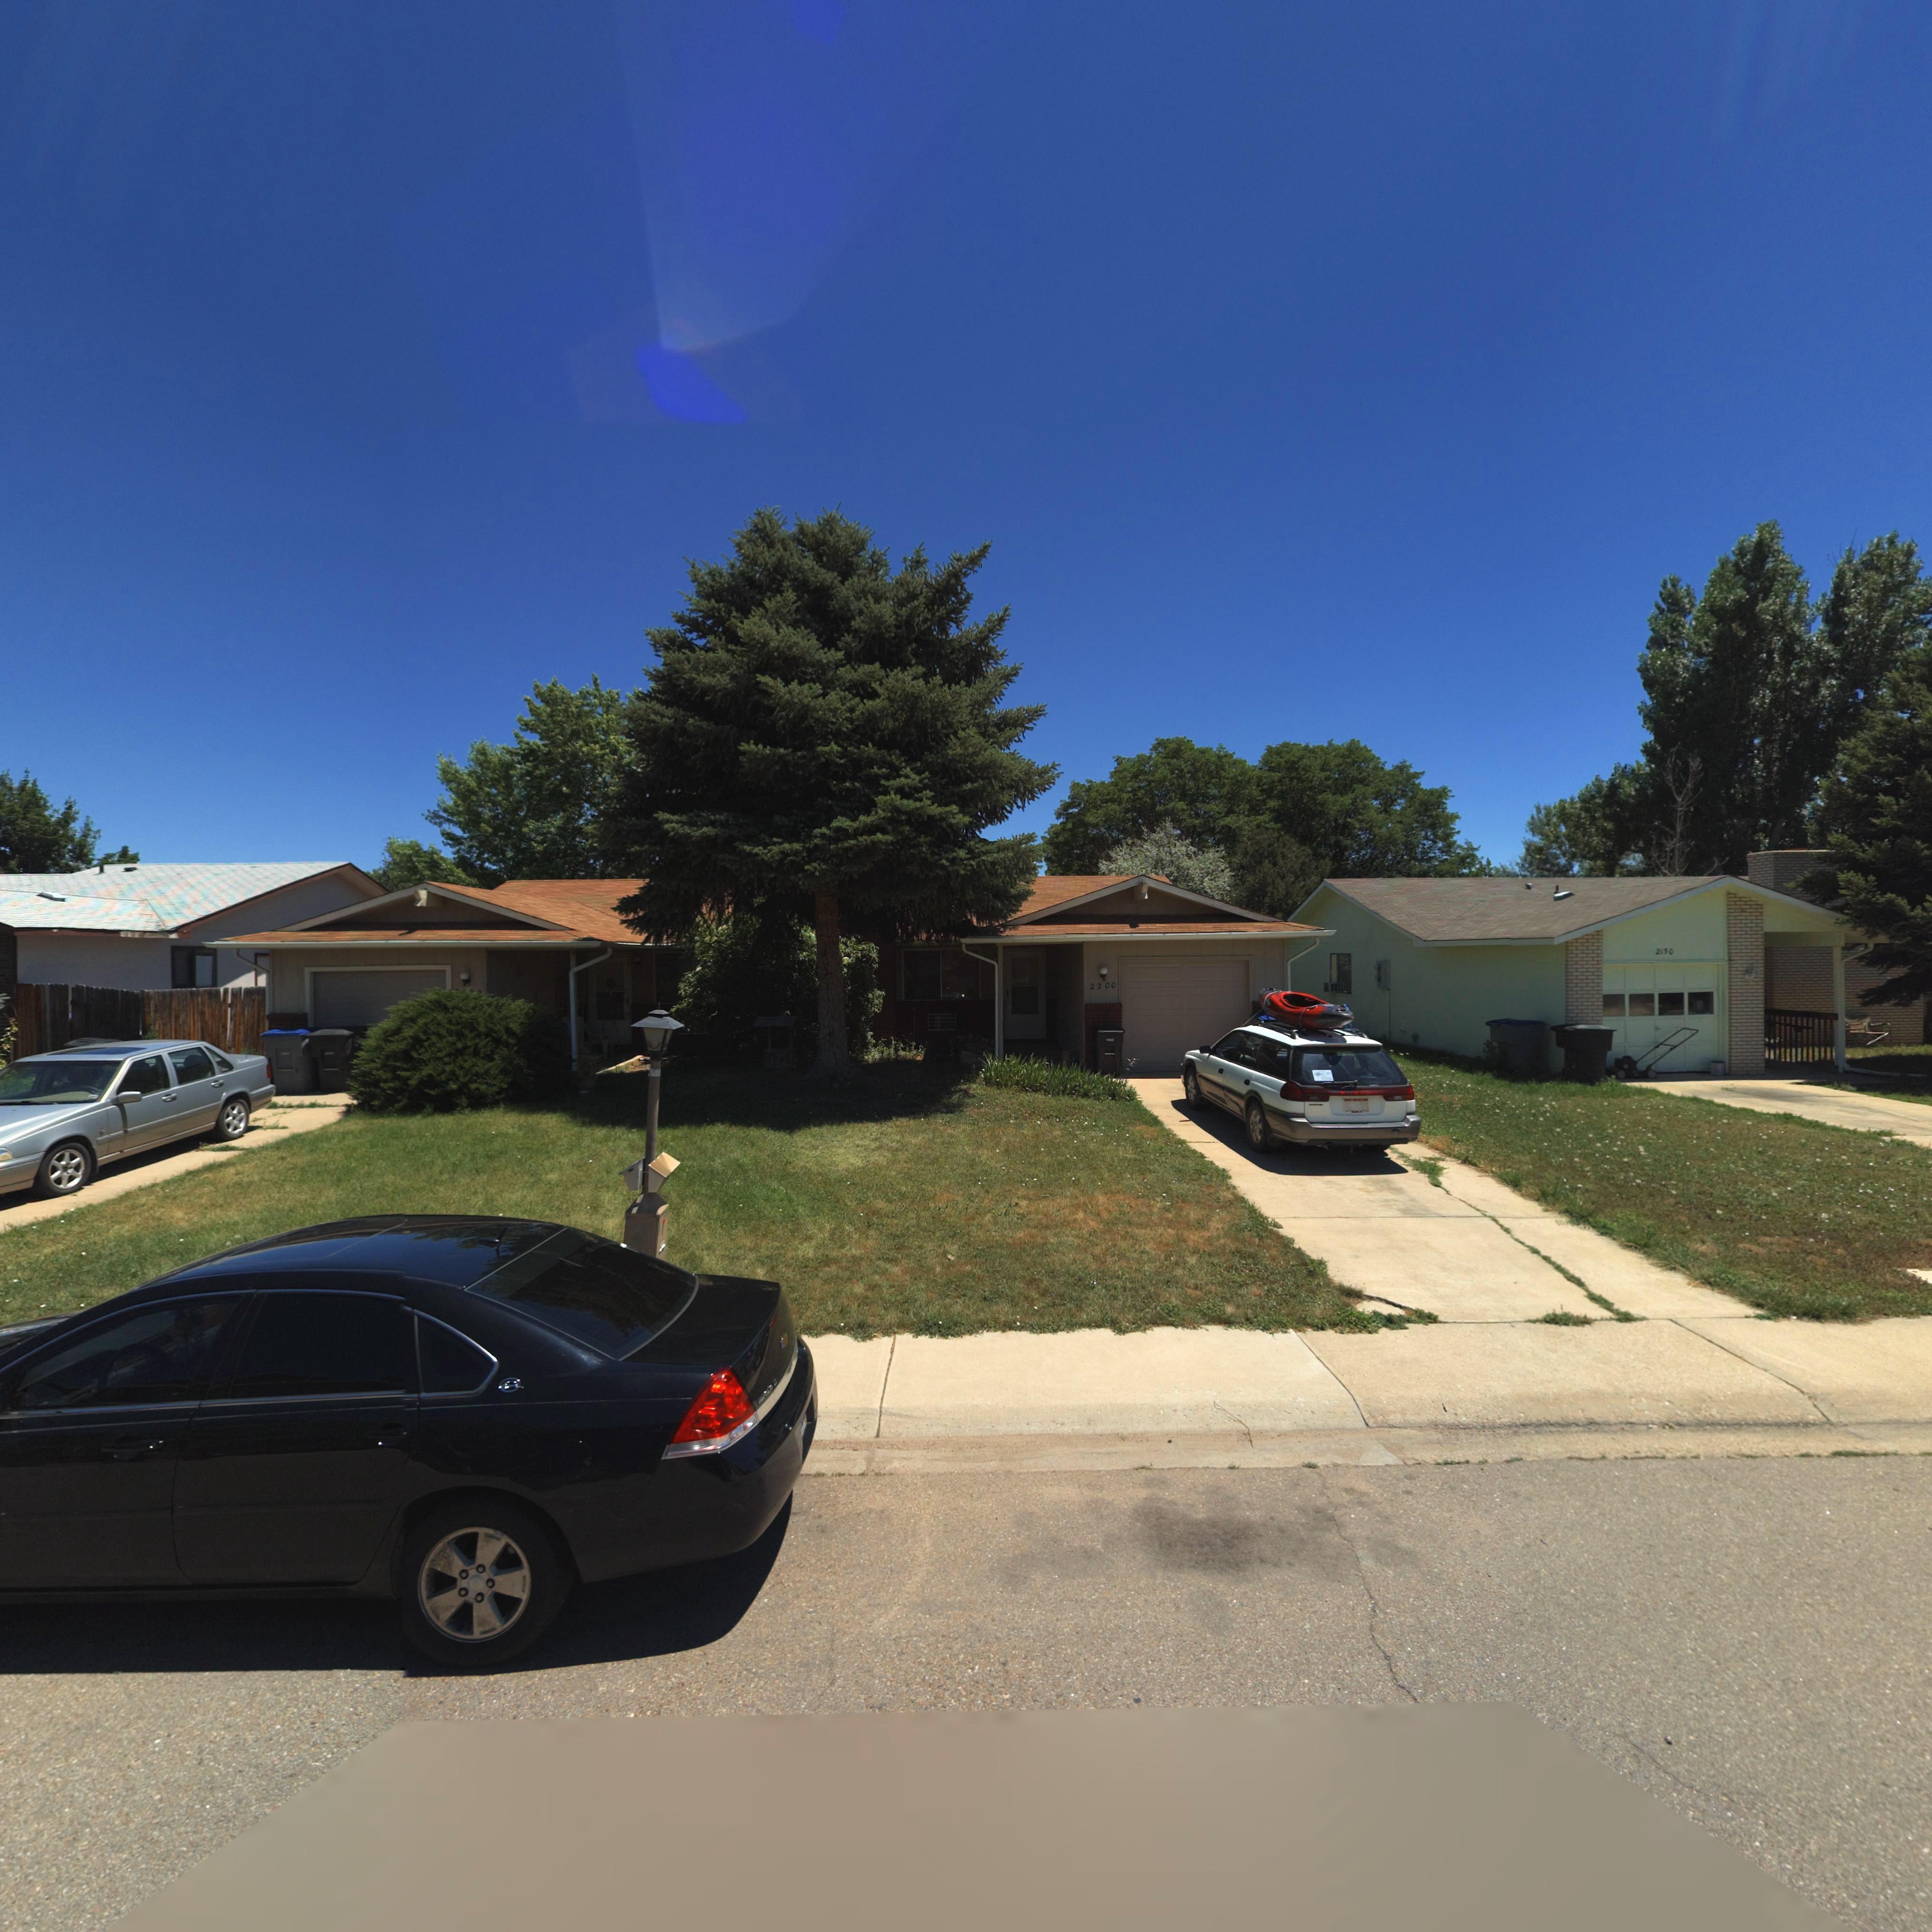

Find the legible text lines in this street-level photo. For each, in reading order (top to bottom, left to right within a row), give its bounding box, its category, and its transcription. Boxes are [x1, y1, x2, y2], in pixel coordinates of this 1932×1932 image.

[1655, 947, 1674, 955] StreetNumber: 2150
[1090, 981, 1116, 990] StreetNumber: 2200